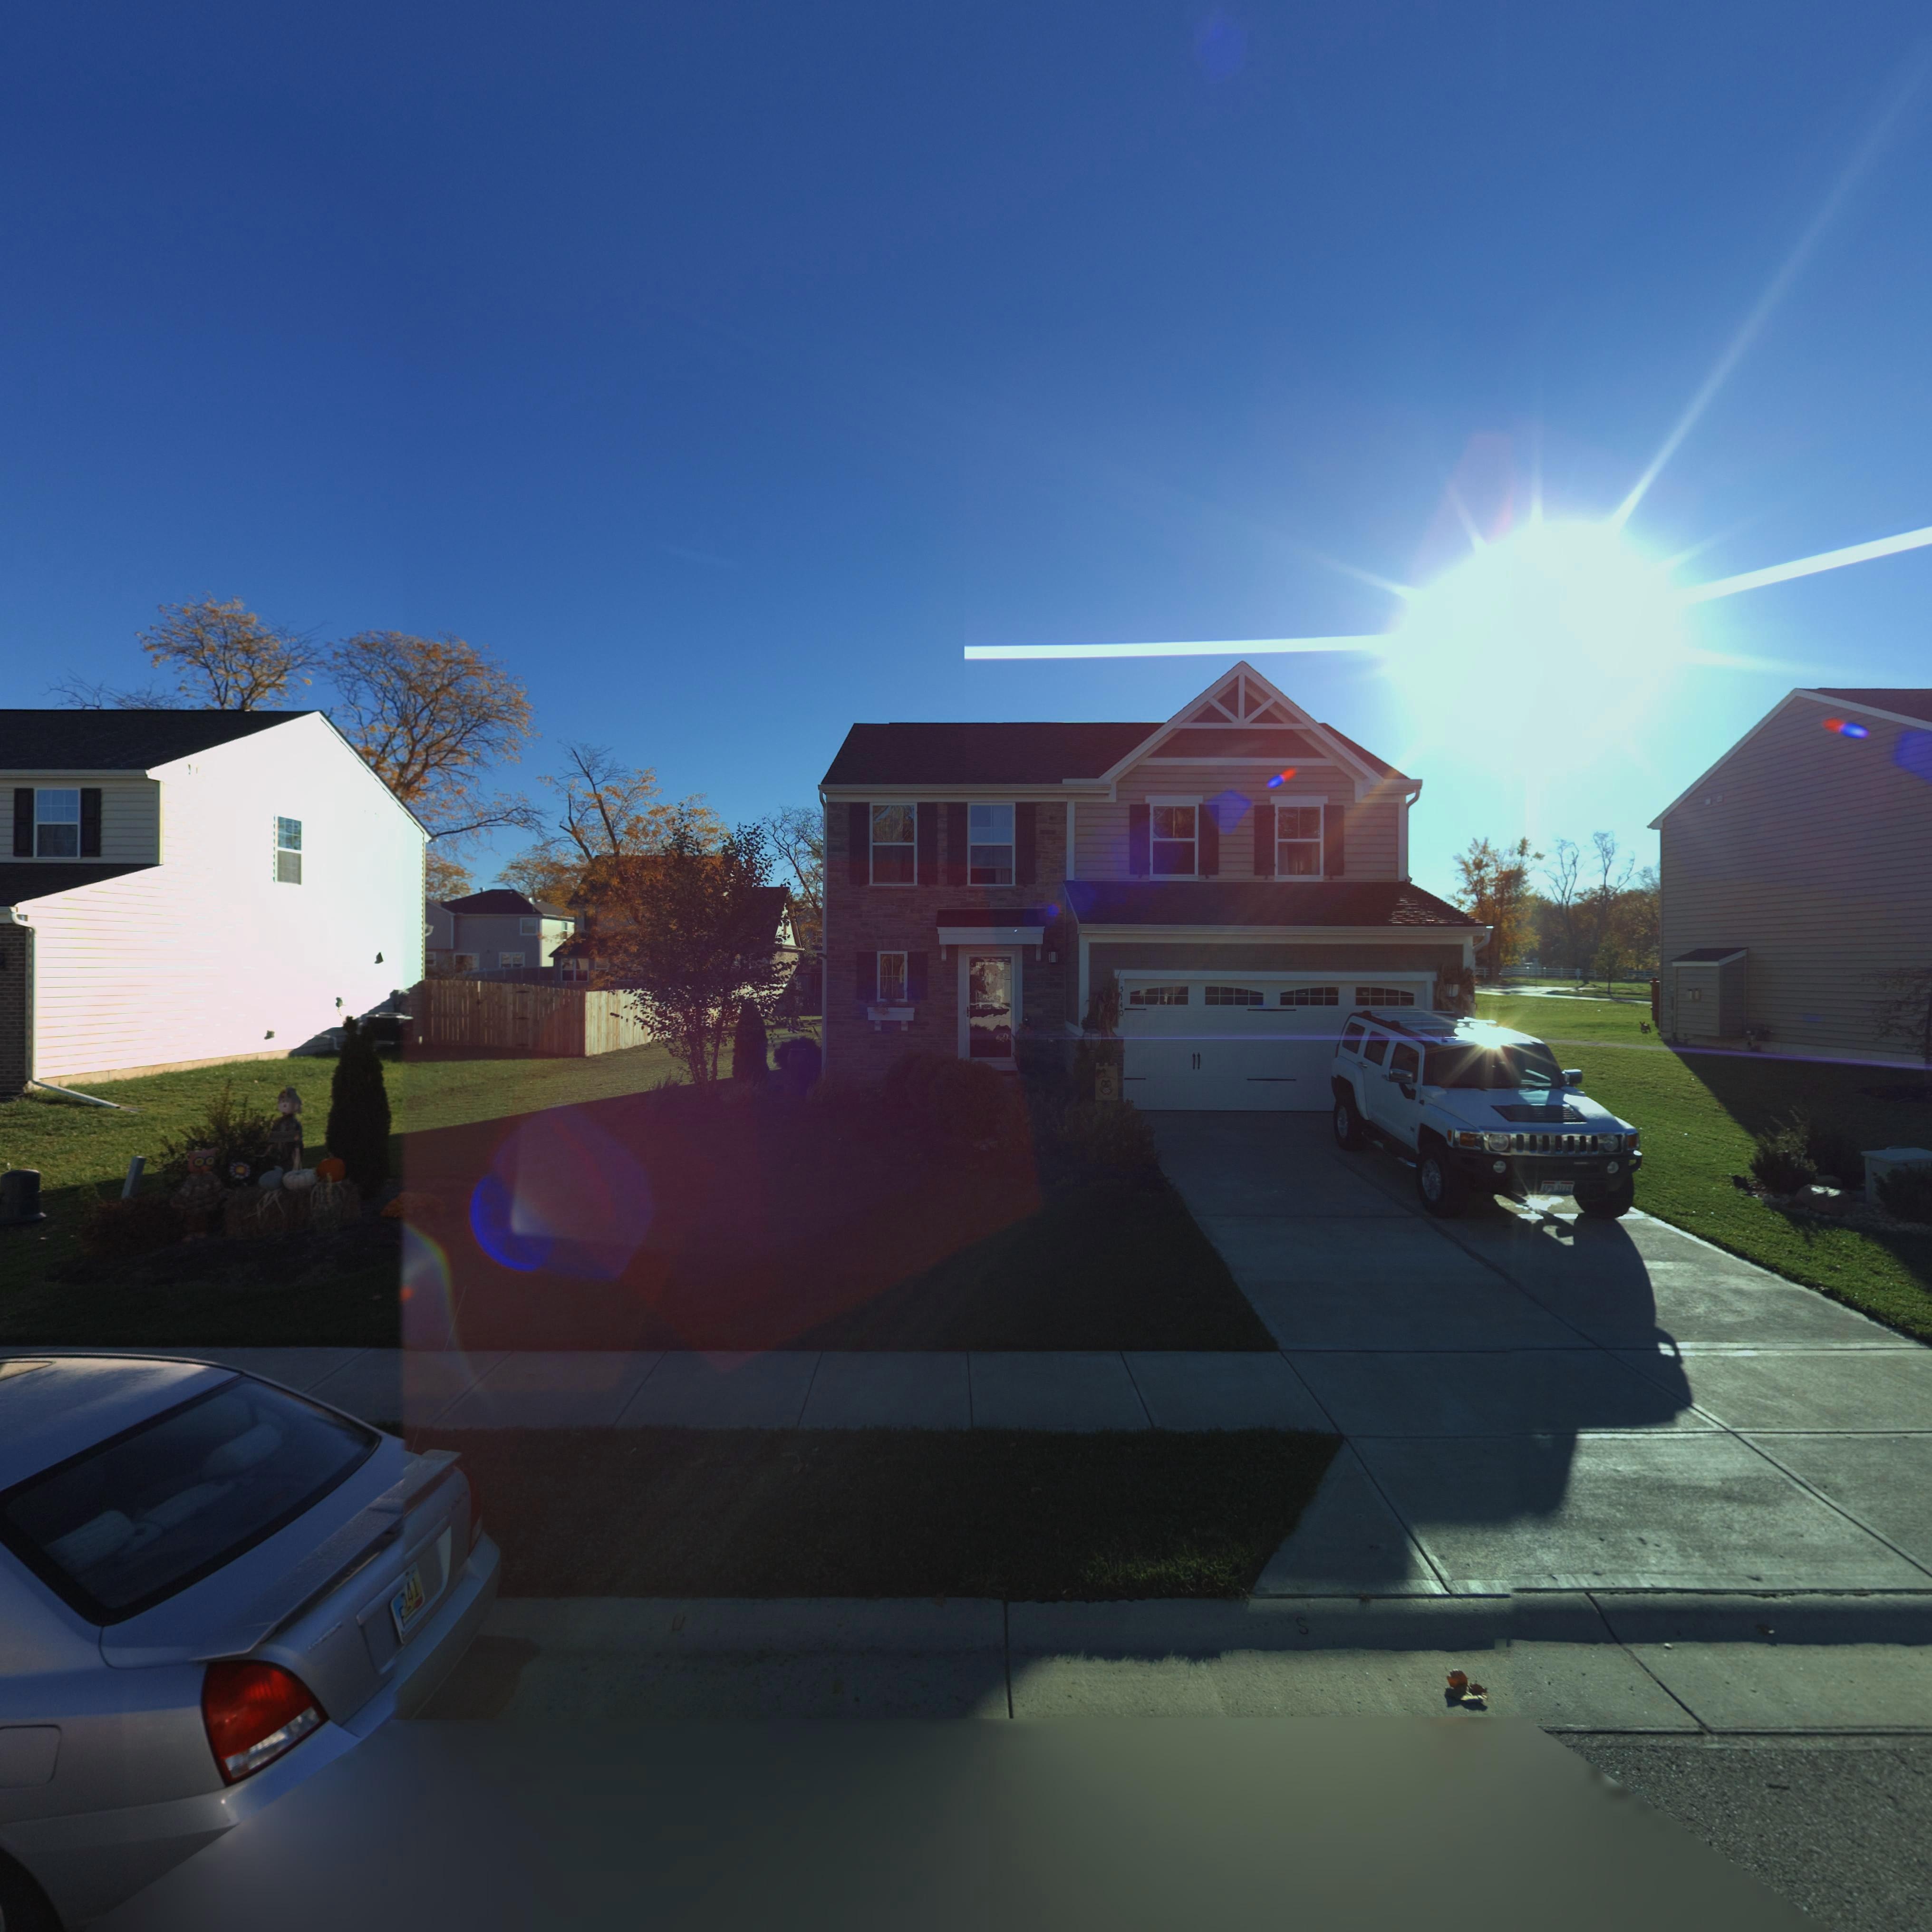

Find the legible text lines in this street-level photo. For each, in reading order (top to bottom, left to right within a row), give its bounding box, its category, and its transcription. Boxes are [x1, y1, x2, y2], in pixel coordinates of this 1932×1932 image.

[1118, 985, 1124, 1017] StreetNumber: 5140